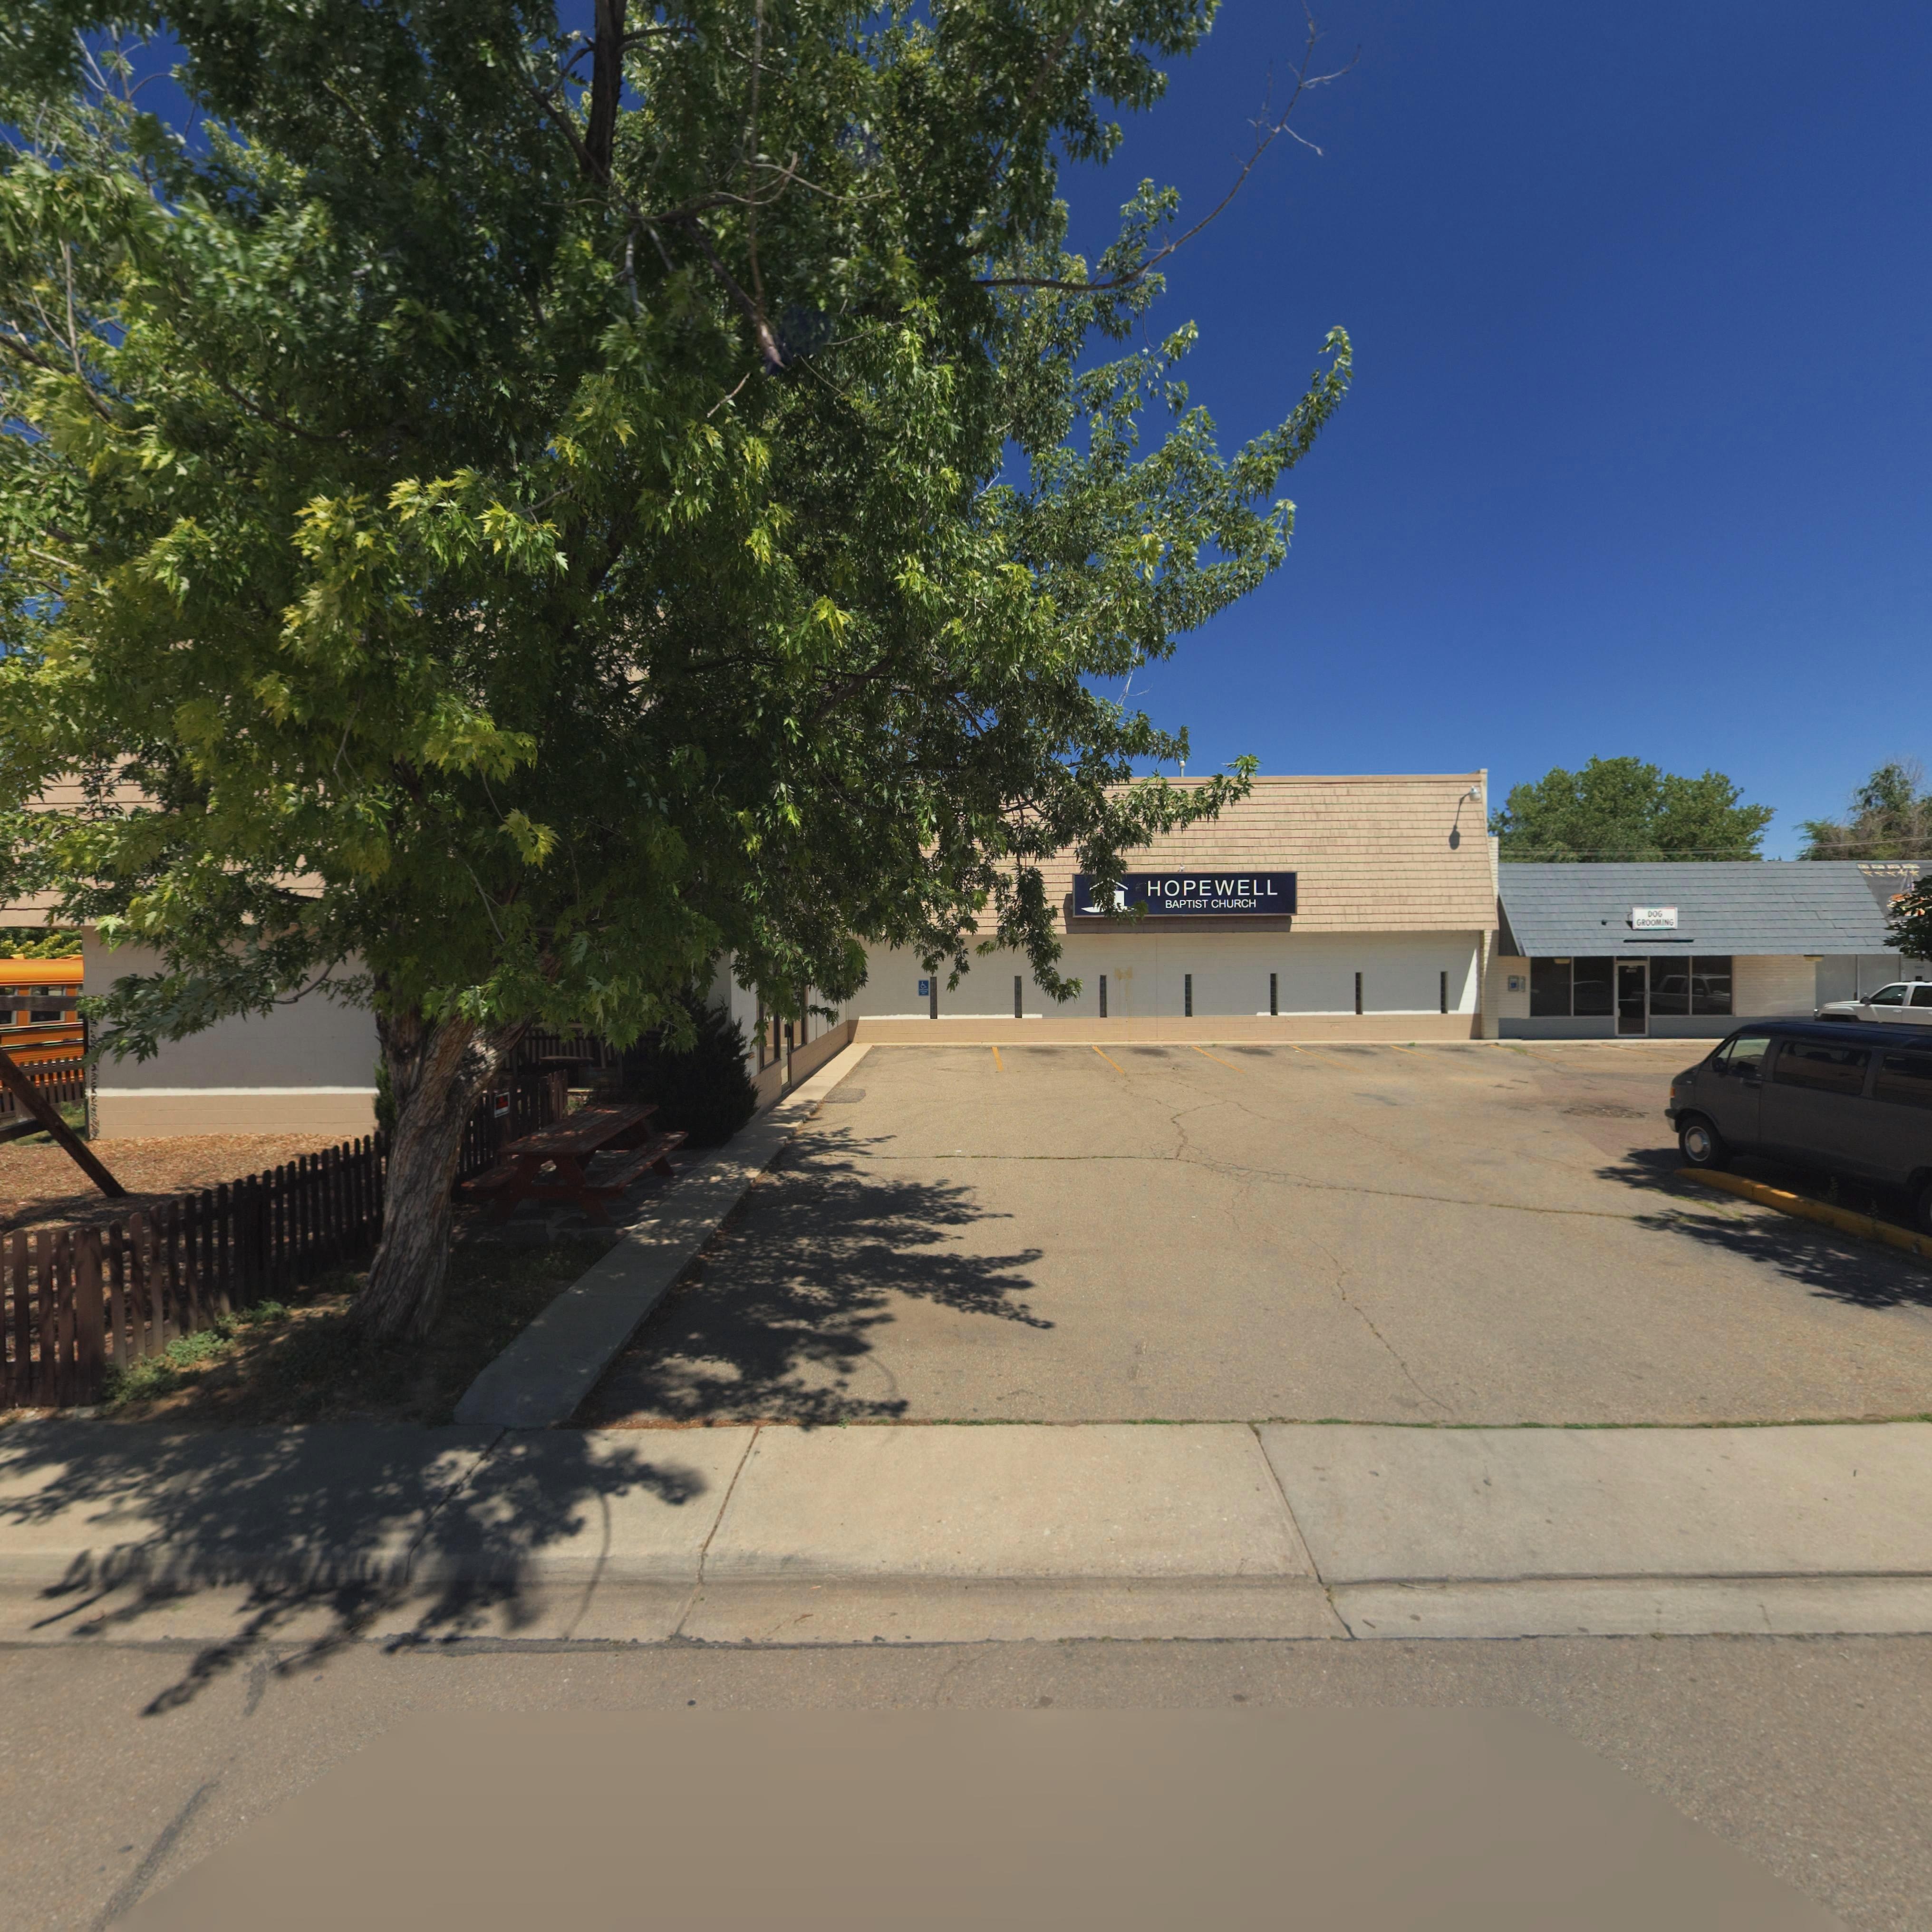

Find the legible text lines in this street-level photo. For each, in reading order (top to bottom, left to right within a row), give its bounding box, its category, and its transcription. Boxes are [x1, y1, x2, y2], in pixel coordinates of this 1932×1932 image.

[1147, 879, 1278, 896] BusinessName: HOPEWELL
[1165, 898, 1256, 908] BusinessName: BAPTIST CHURCH